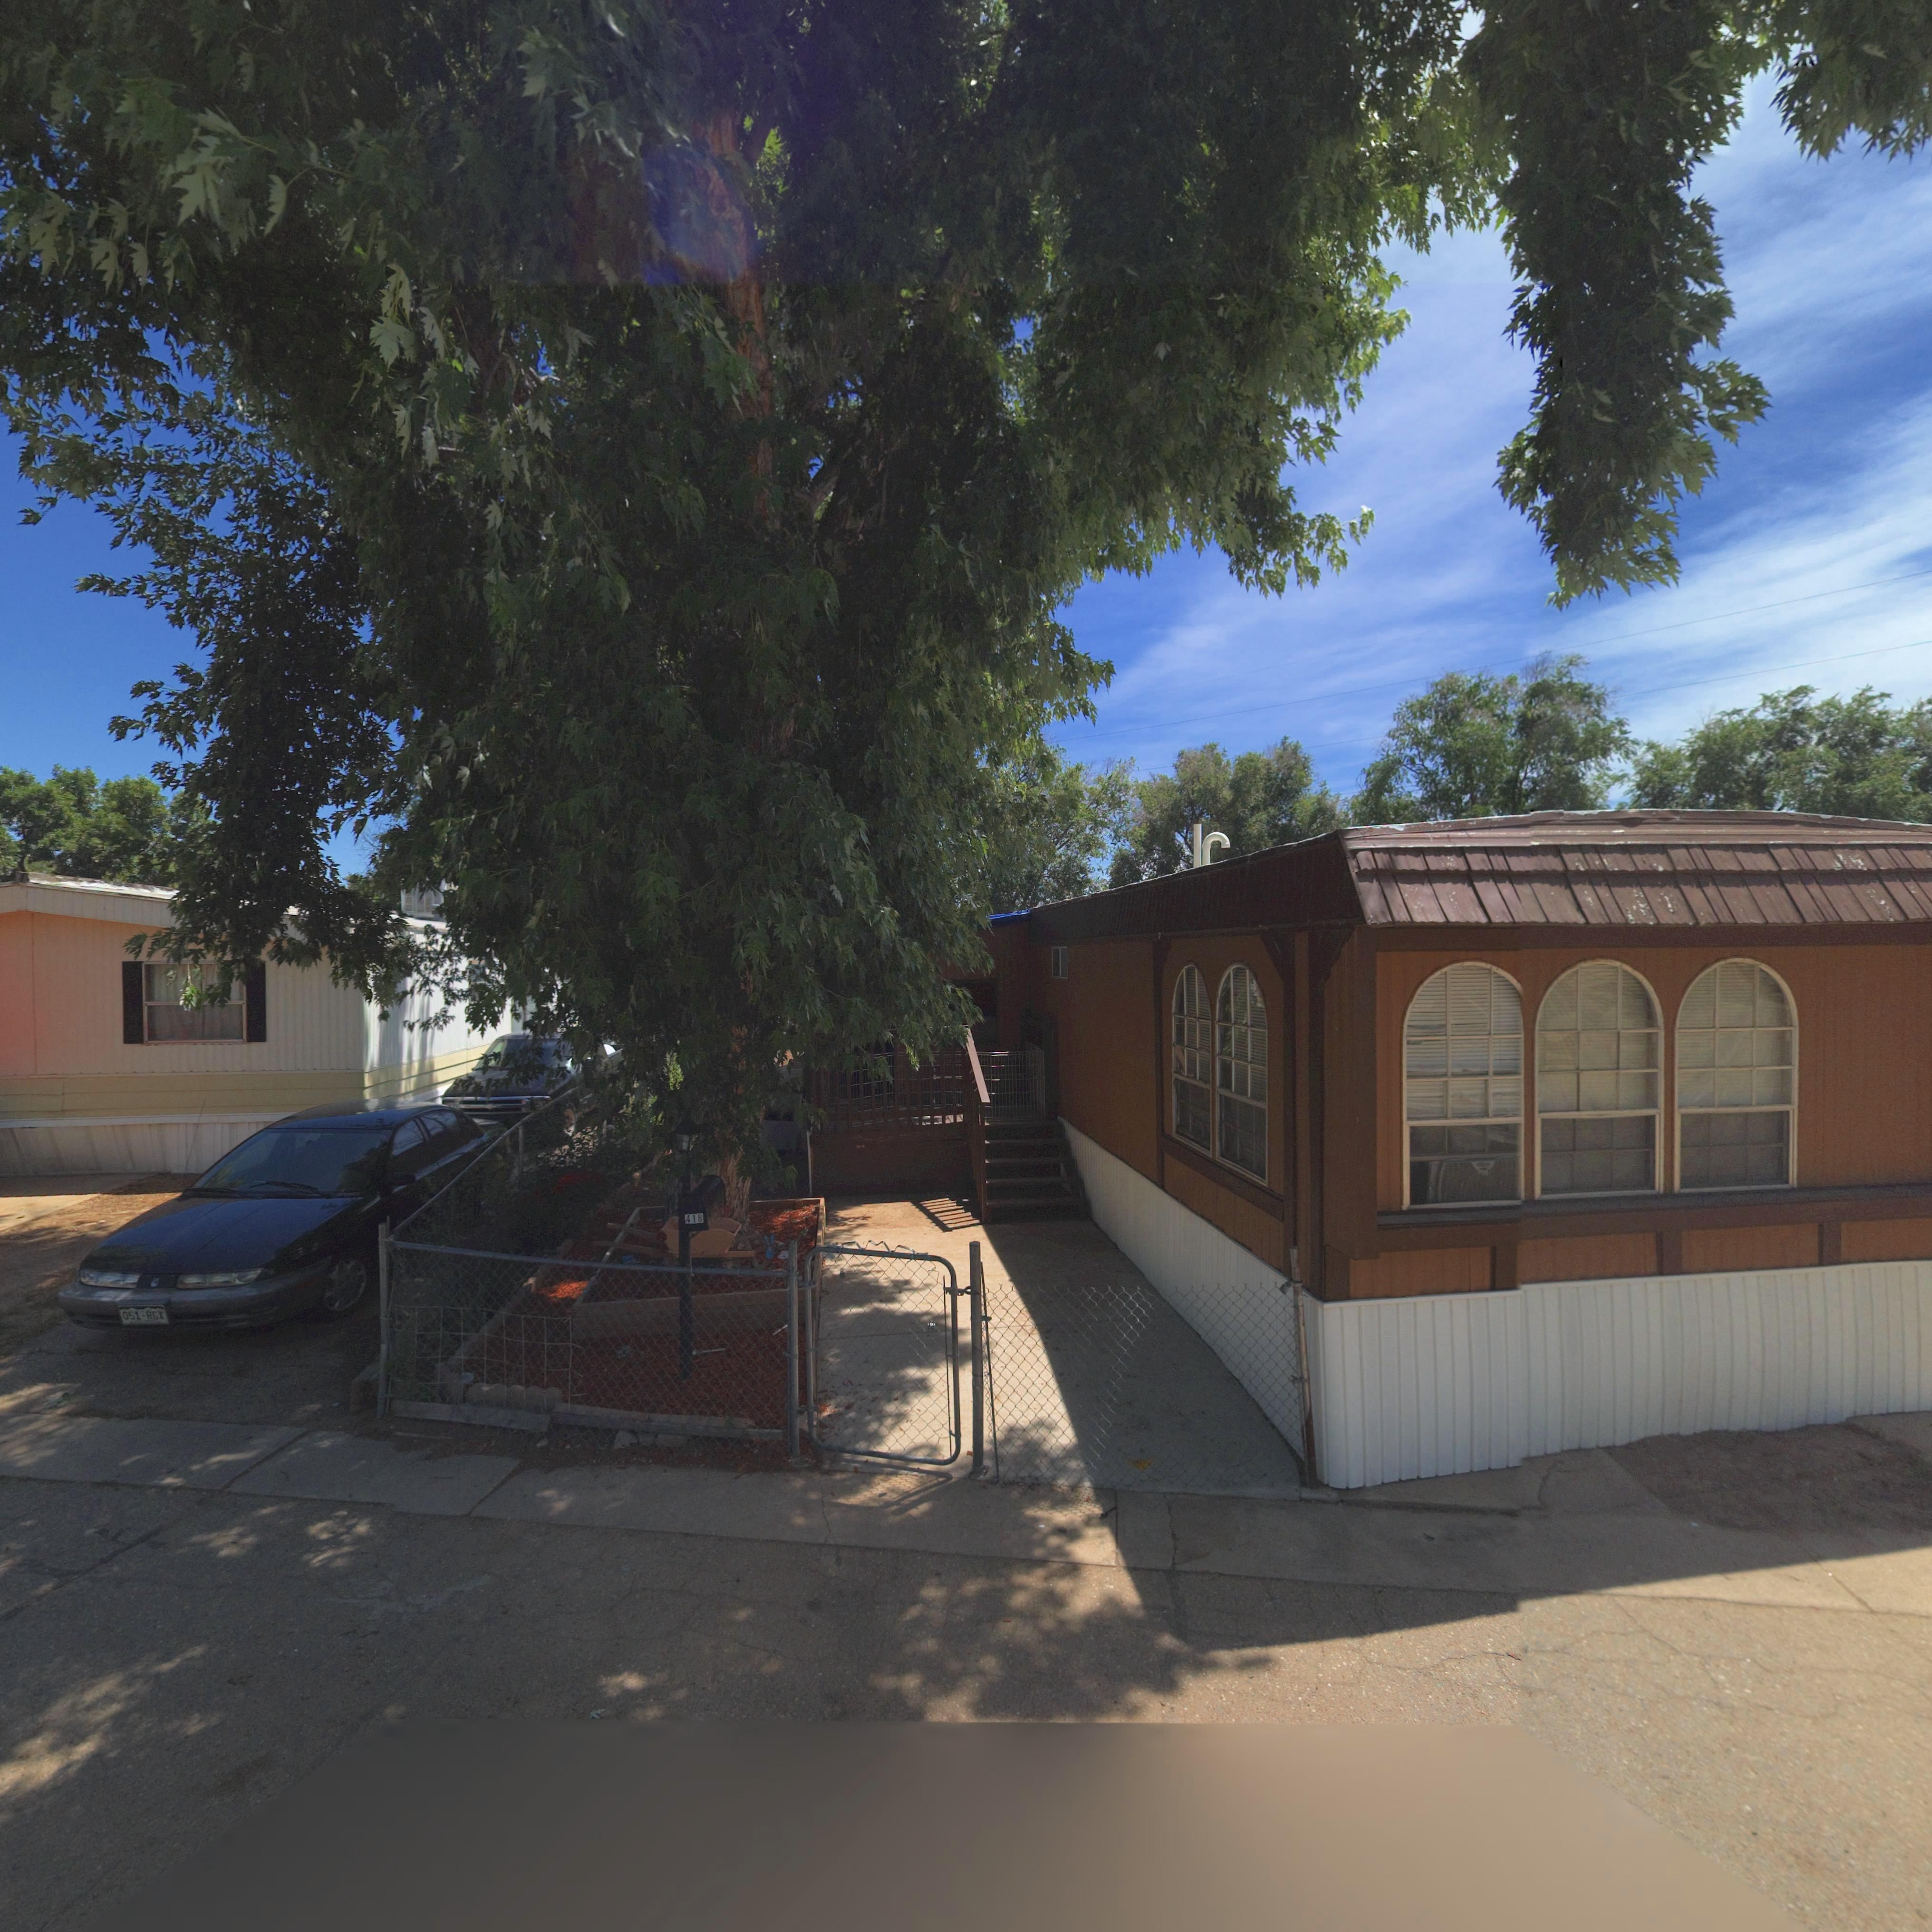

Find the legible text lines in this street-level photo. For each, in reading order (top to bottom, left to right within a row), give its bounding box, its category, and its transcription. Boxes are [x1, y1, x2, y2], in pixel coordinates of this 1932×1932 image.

[686, 1214, 702, 1223] StreetNumber: 418